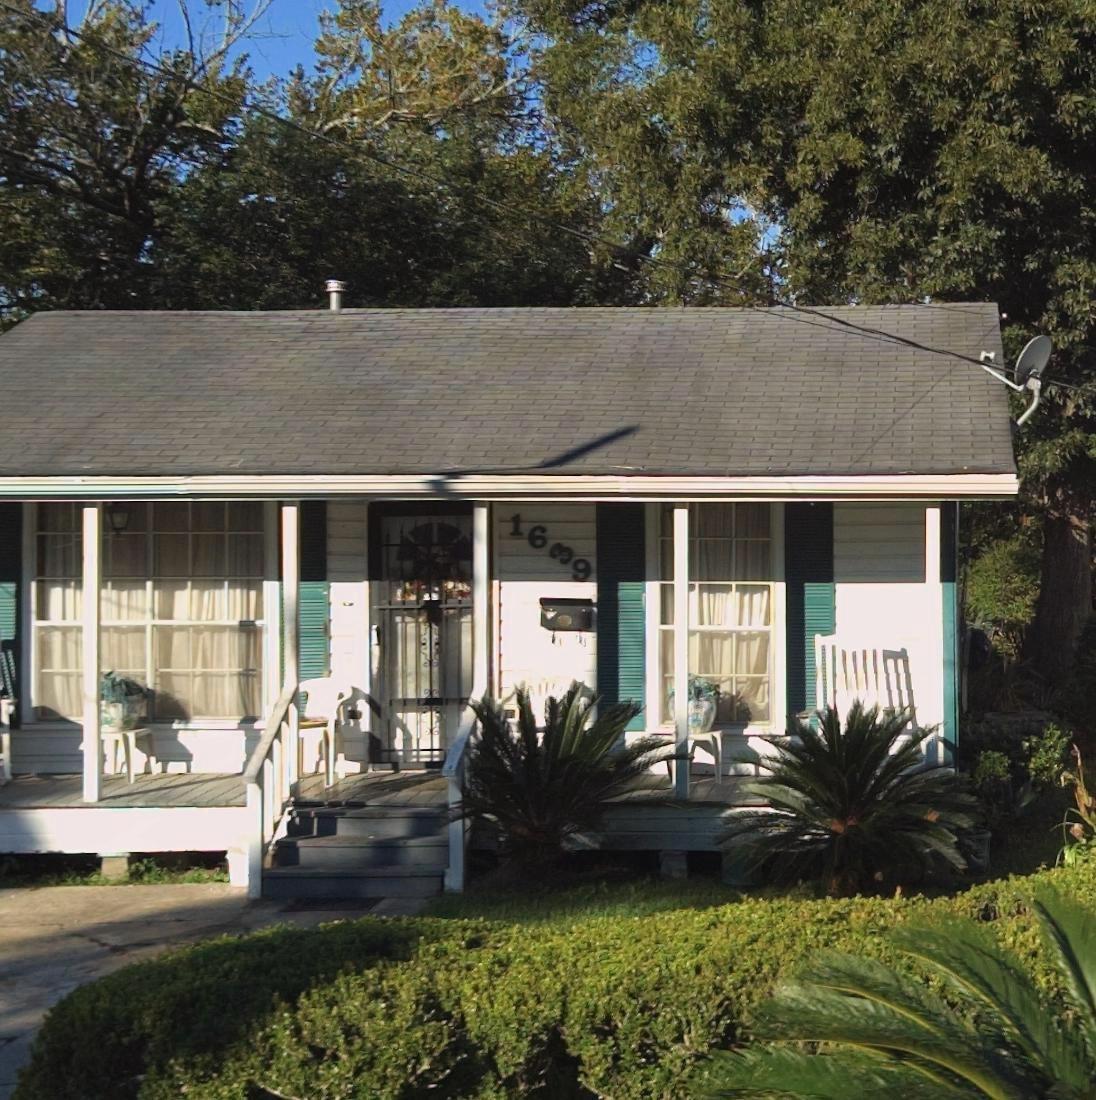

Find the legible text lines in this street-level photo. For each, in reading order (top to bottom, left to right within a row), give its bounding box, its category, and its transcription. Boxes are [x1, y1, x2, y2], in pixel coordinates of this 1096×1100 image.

[508, 510, 594, 584] StreetNumber: 1639